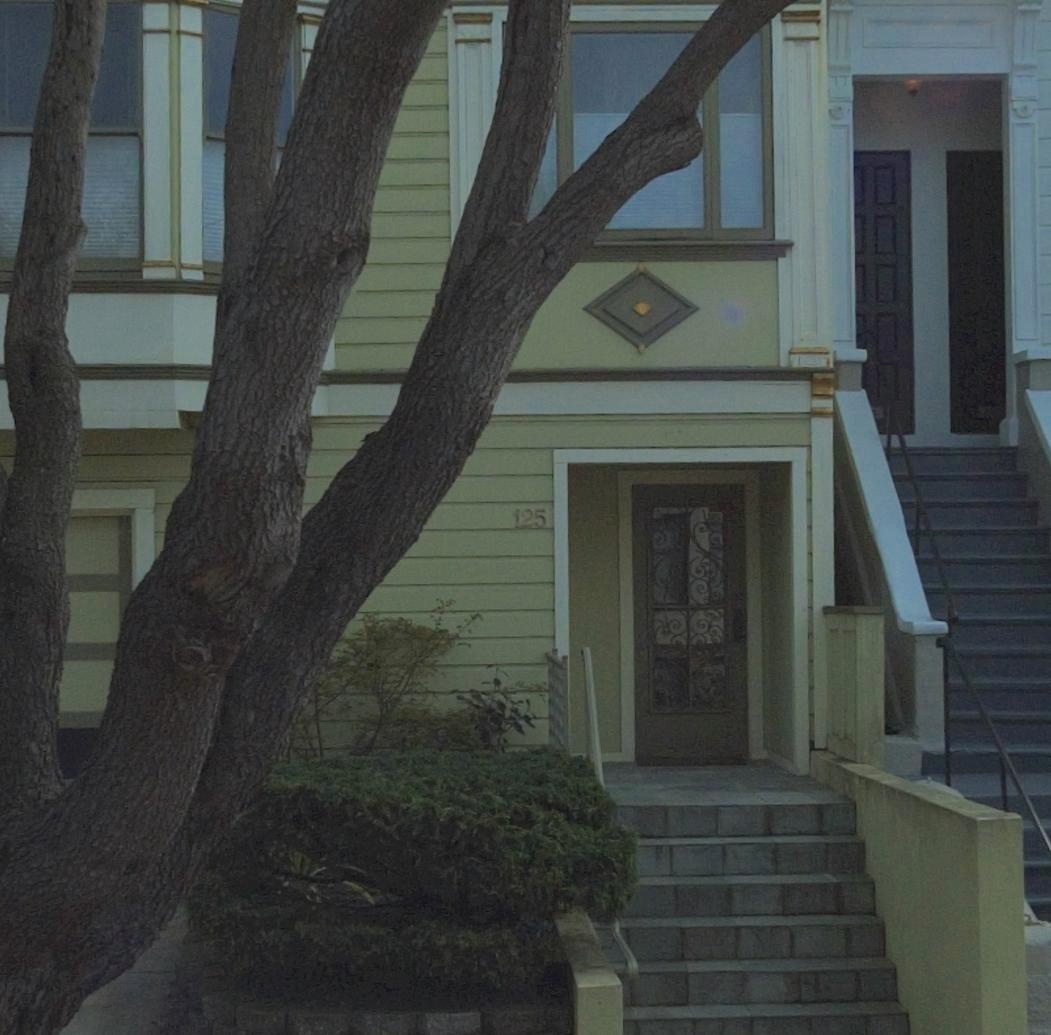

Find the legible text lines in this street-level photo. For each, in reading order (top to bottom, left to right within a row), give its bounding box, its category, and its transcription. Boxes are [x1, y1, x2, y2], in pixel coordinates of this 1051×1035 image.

[510, 507, 547, 529] StreetNumber: 125